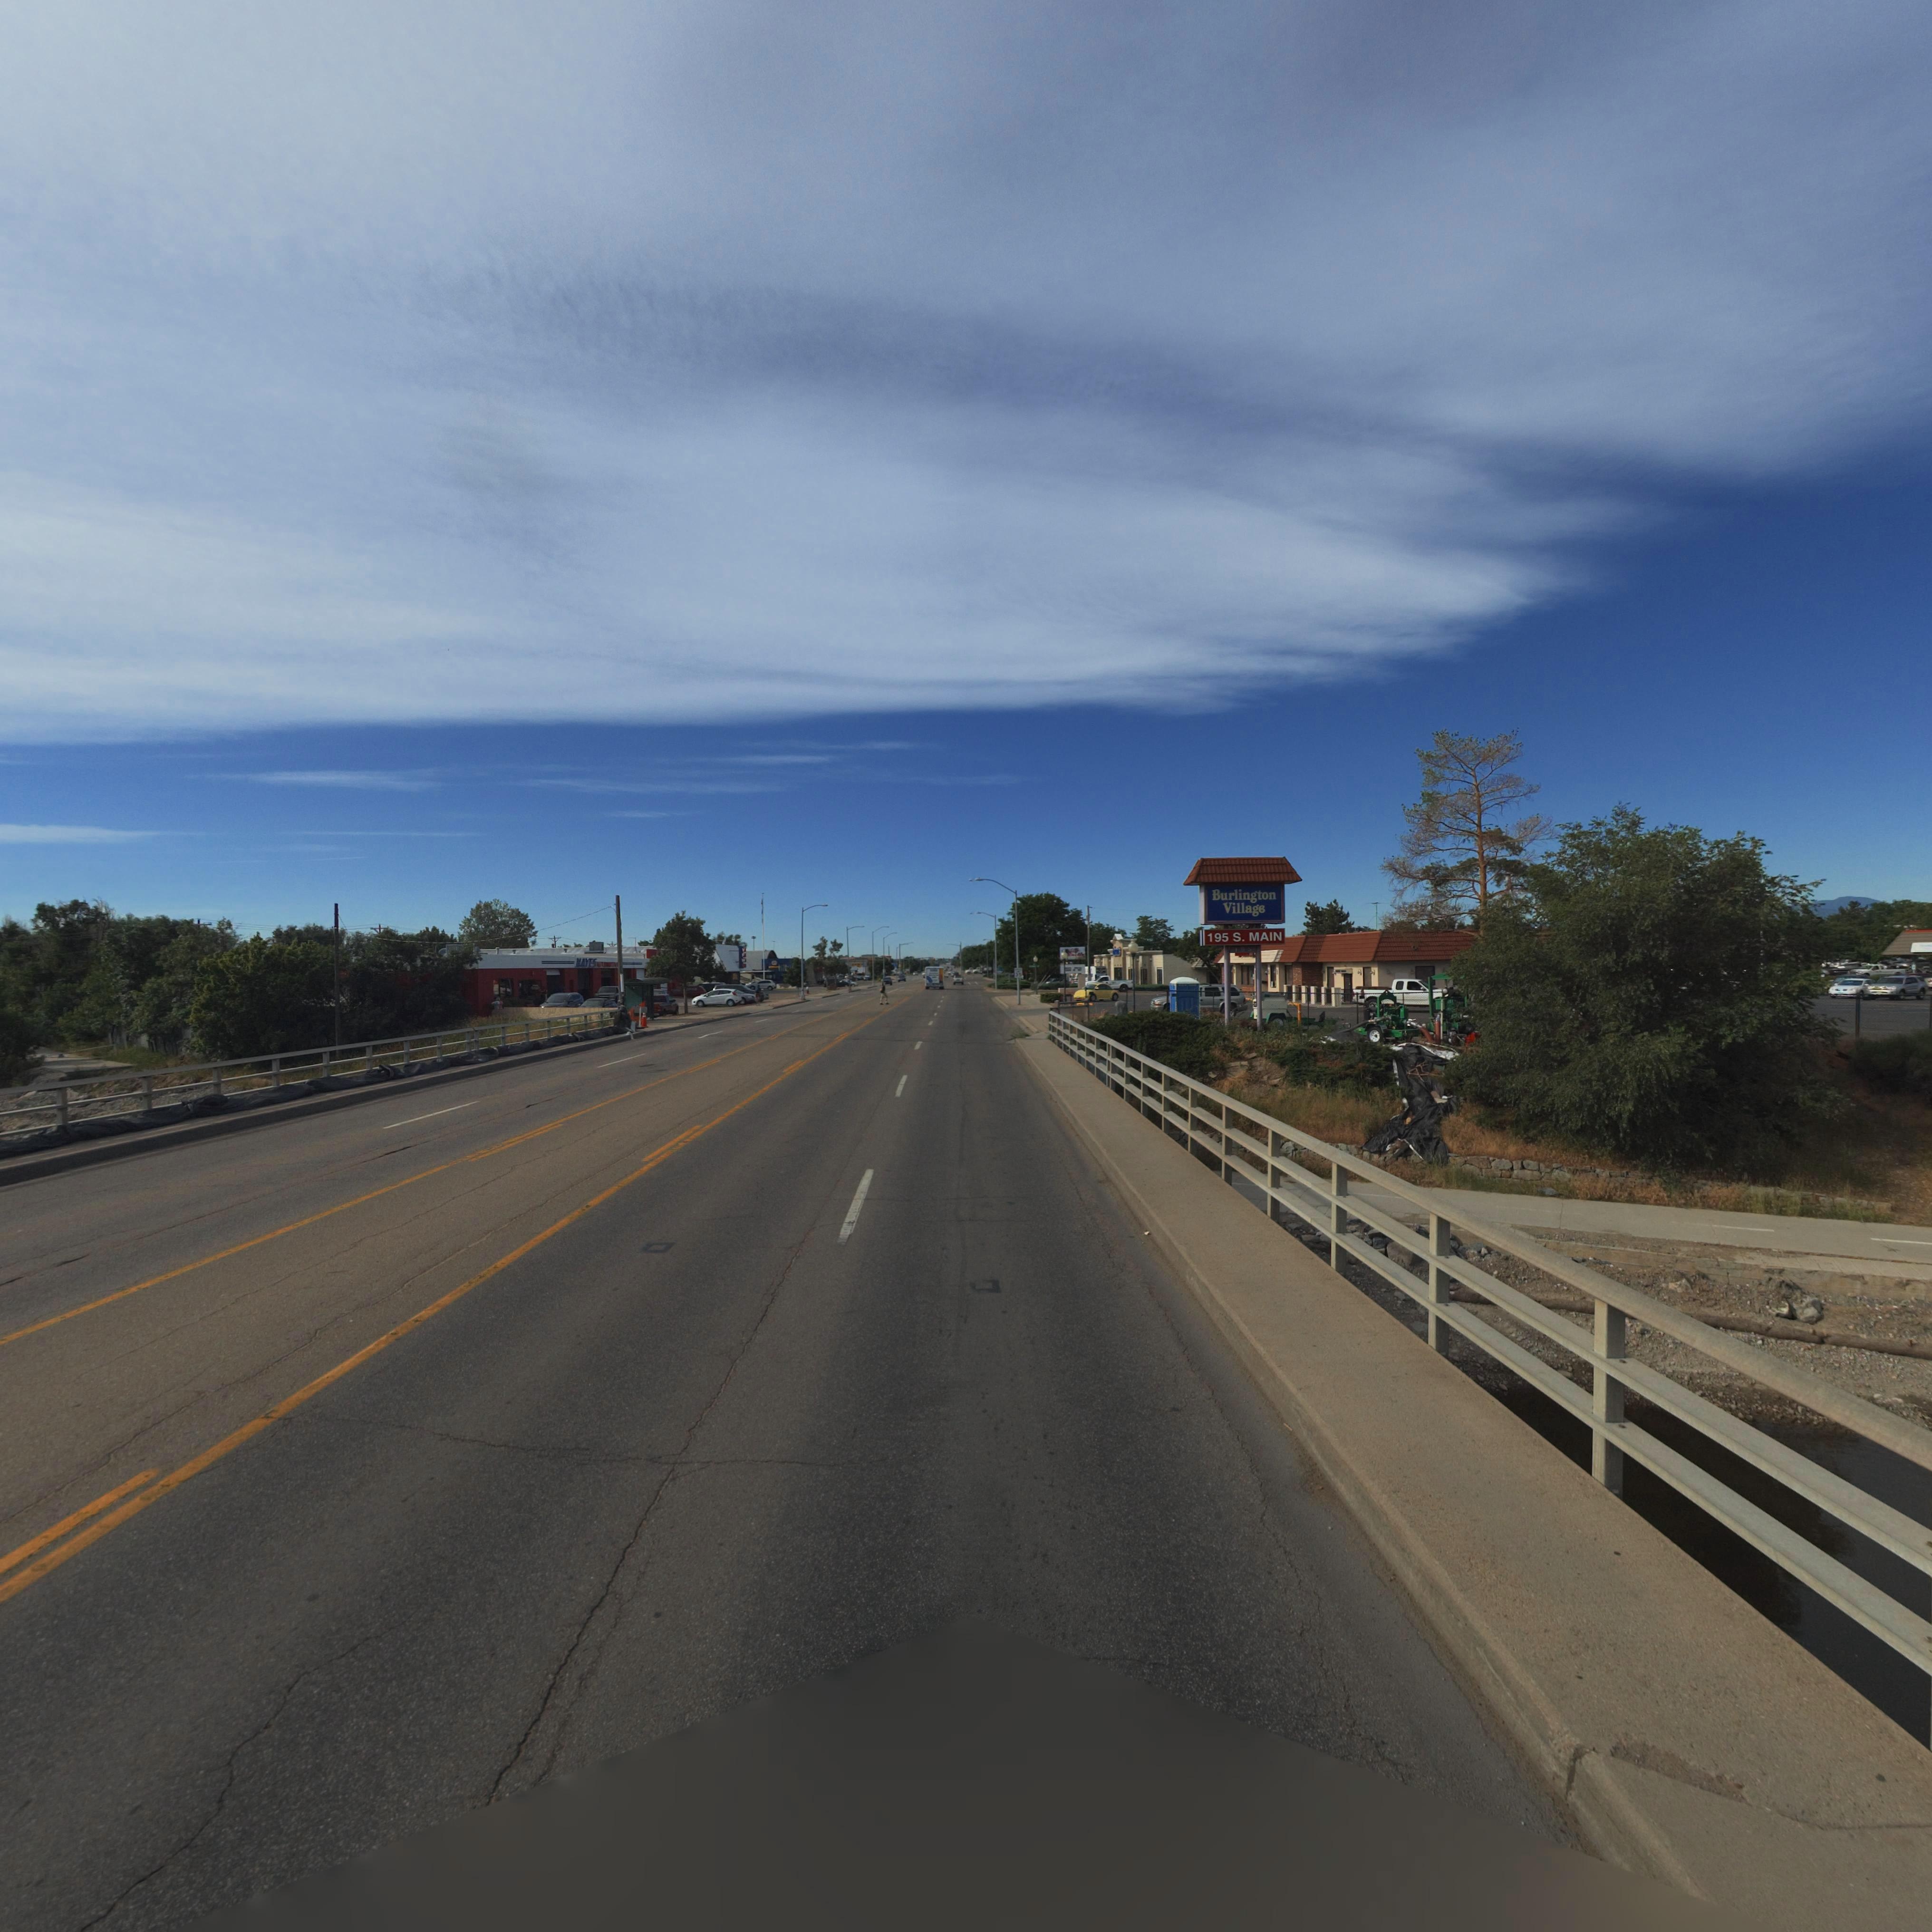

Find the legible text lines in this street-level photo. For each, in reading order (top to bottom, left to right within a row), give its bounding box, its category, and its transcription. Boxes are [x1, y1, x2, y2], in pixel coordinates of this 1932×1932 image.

[1212, 889, 1276, 904] BusinessName: Burlington
[1222, 901, 1265, 917] BusinessName: Village
[1207, 932, 1228, 942] StreetNumber: 195
[1233, 931, 1282, 942] StreetName: S. MAIN
[1235, 946, 1252, 952] StreetNumber: 195
[741, 948, 745, 962] BusinessName: *F*
[575, 957, 597, 967] BusinessName: *AYES